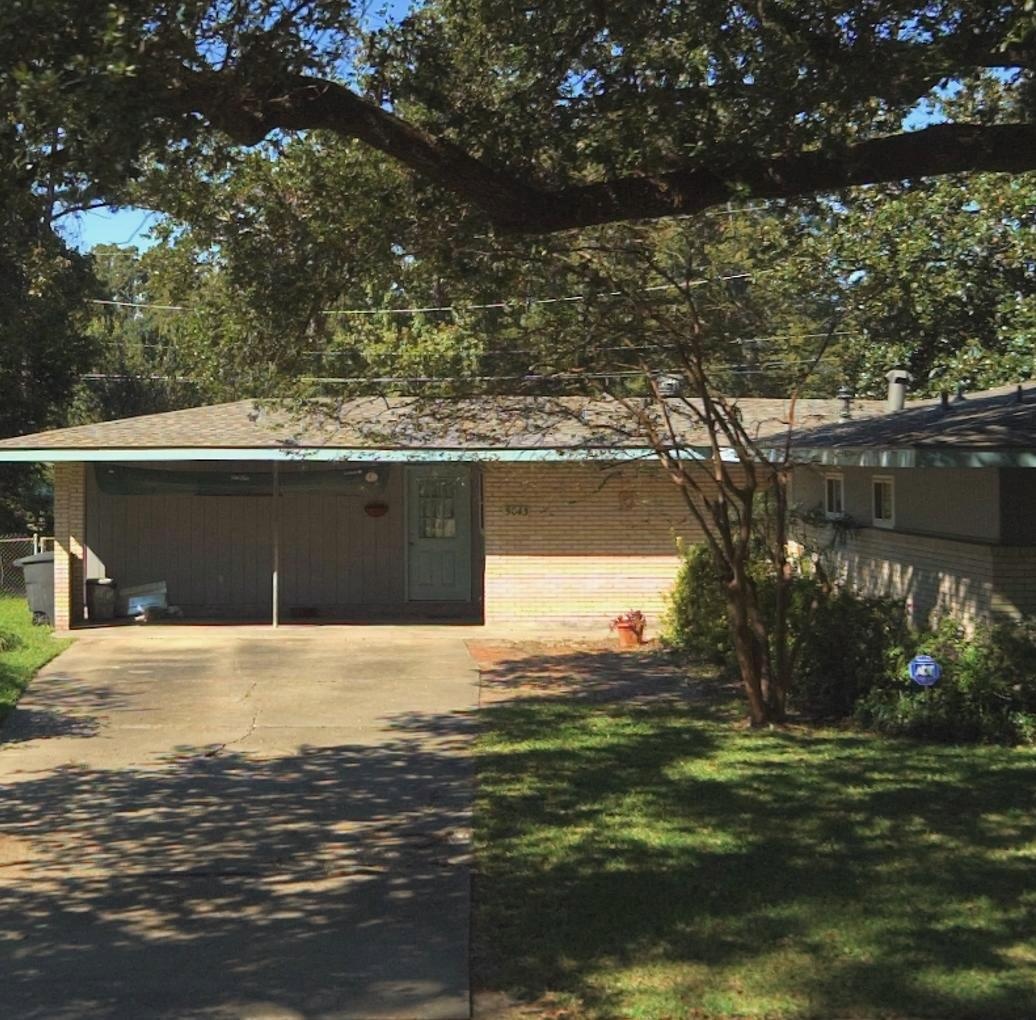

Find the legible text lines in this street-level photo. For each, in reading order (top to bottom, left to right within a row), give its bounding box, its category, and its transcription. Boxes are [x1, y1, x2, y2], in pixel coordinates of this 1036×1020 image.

[504, 505, 529, 517] StreetNumber: 5043
[913, 664, 935, 676] None: ADT